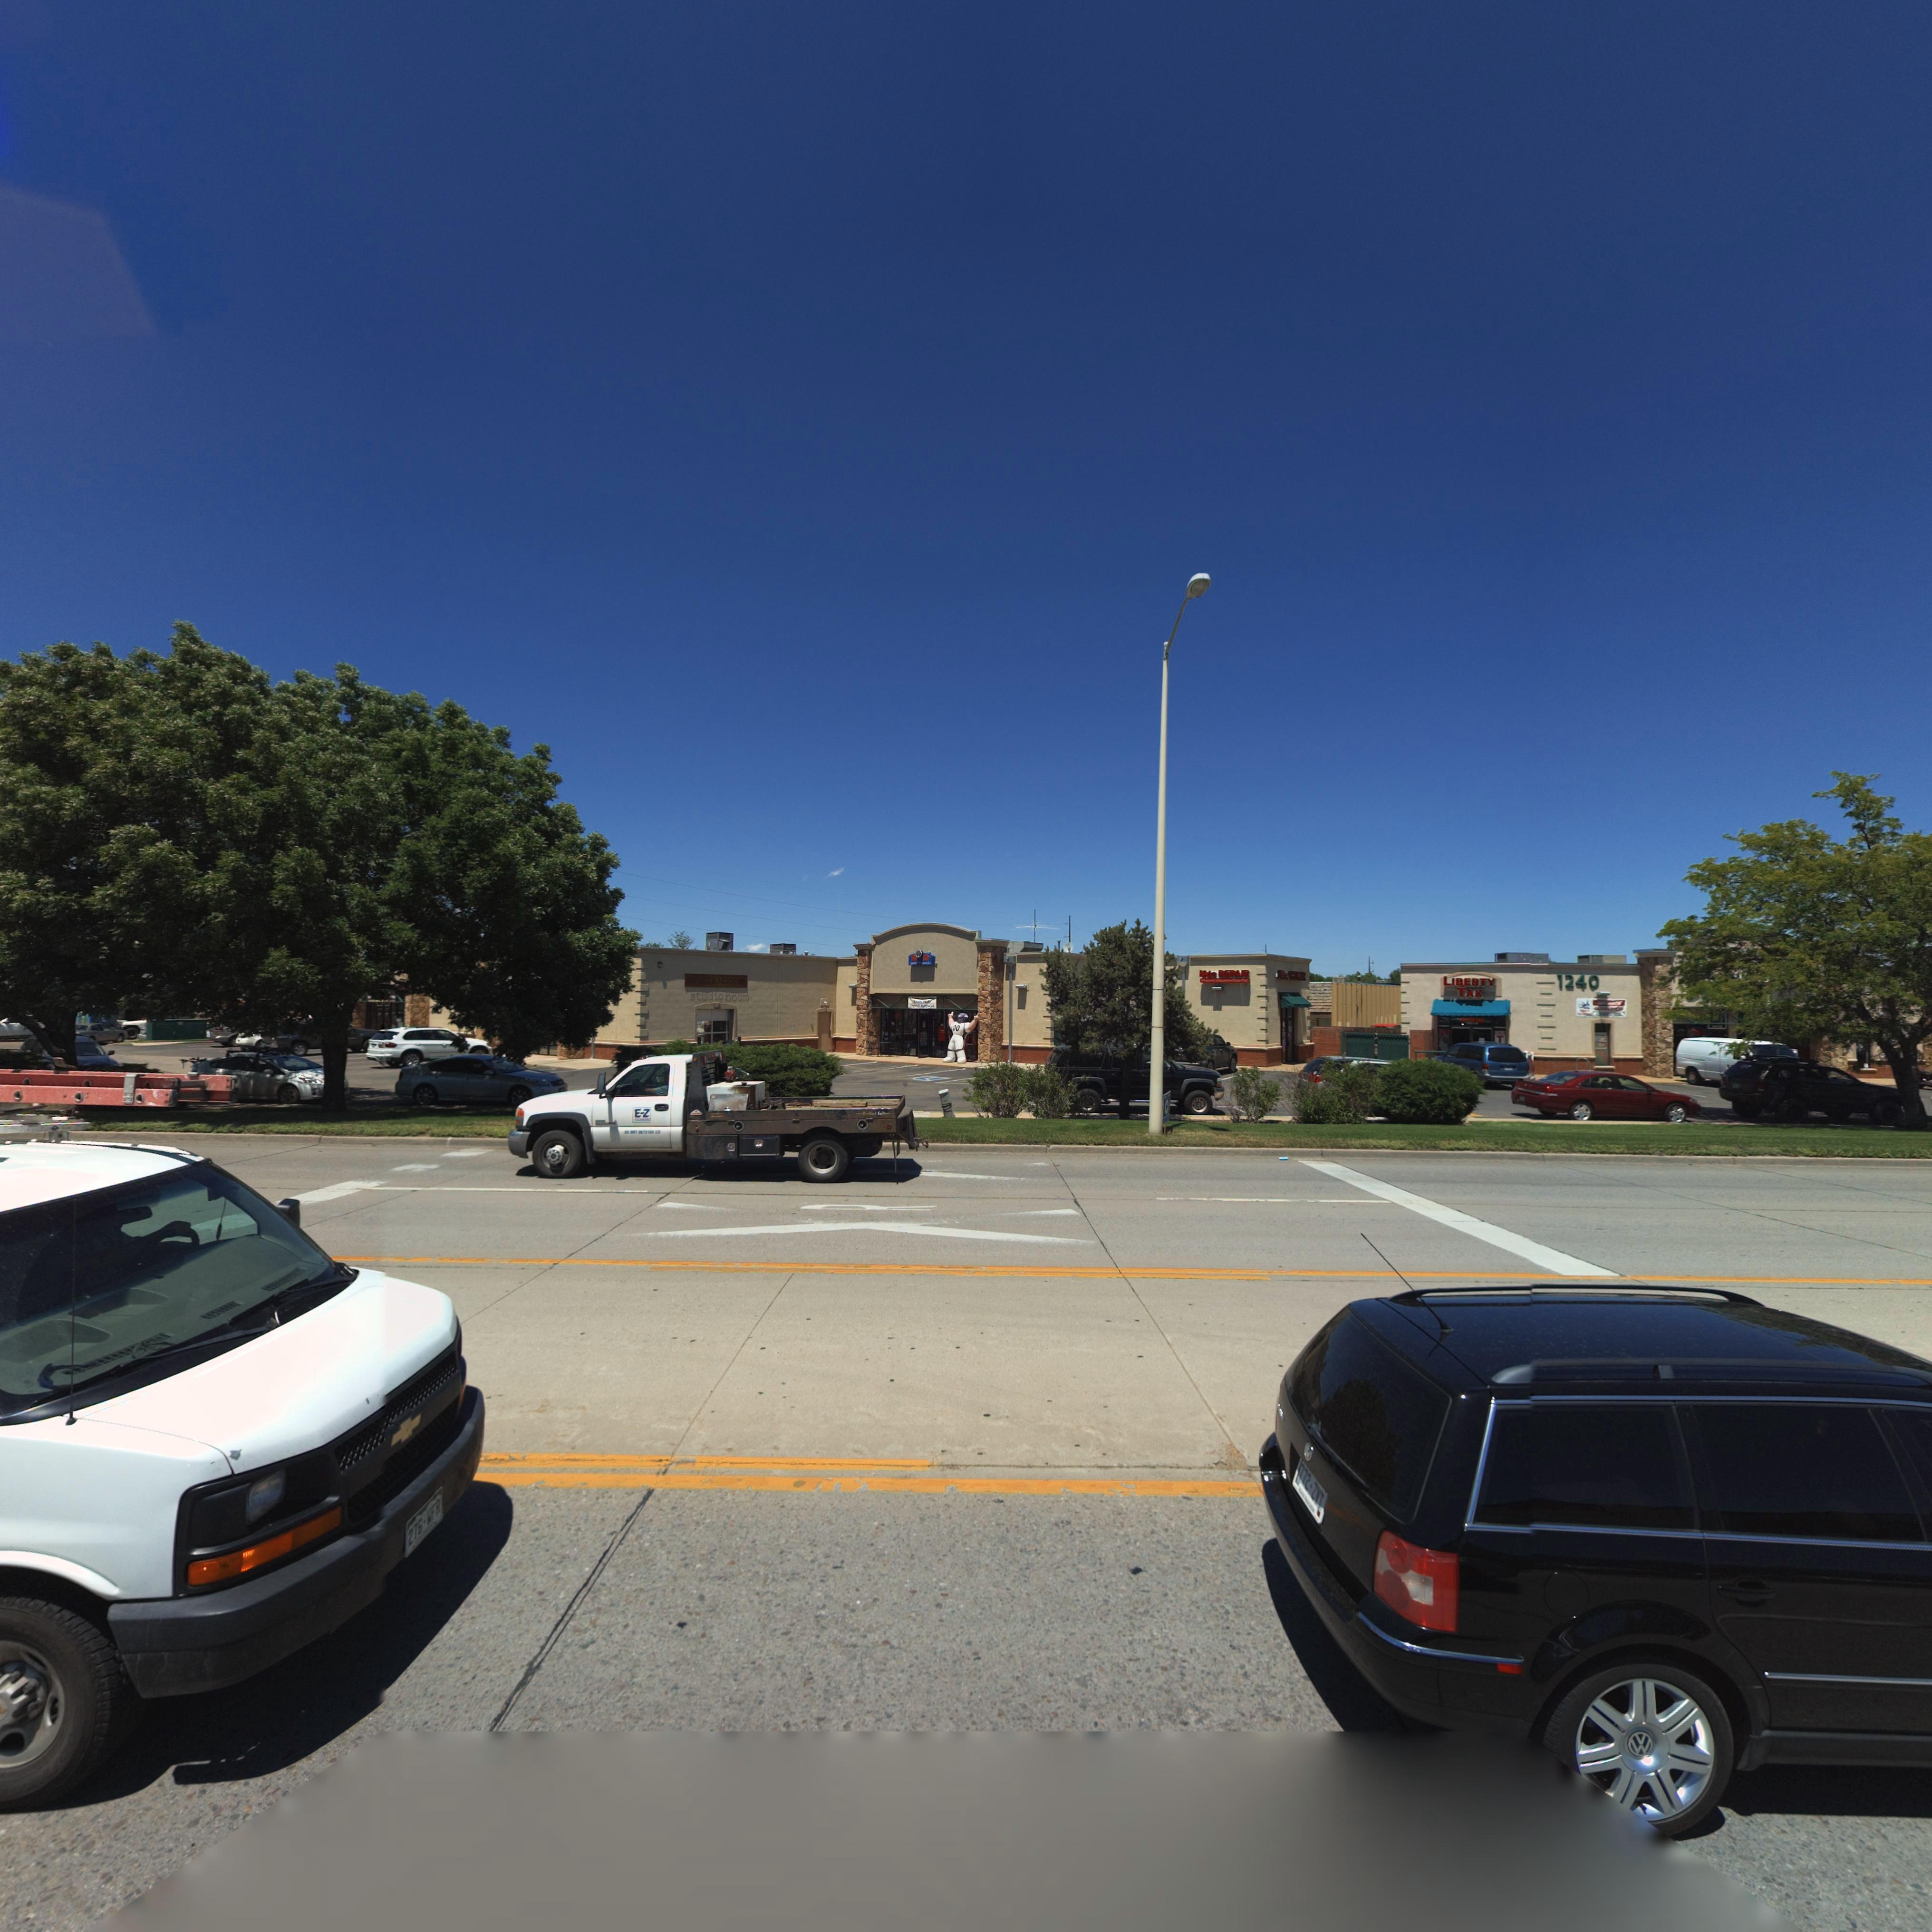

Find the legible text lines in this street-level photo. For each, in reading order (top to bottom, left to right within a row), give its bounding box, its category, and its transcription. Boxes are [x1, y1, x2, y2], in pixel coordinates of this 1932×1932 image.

[911, 954, 928, 961] BusinessName: K  D
[1199, 969, 1249, 977] BusinessName: M*c REPAIR
[686, 975, 746, 985] BusinessName: s****o boo*
[1443, 976, 1496, 987] BusinessName: LIBERTY
[1556, 973, 1600, 988] StreetNumber: 1240
[689, 991, 750, 1002] BusinessName: studio boom
[1456, 987, 1483, 998] BusinessName: TAX